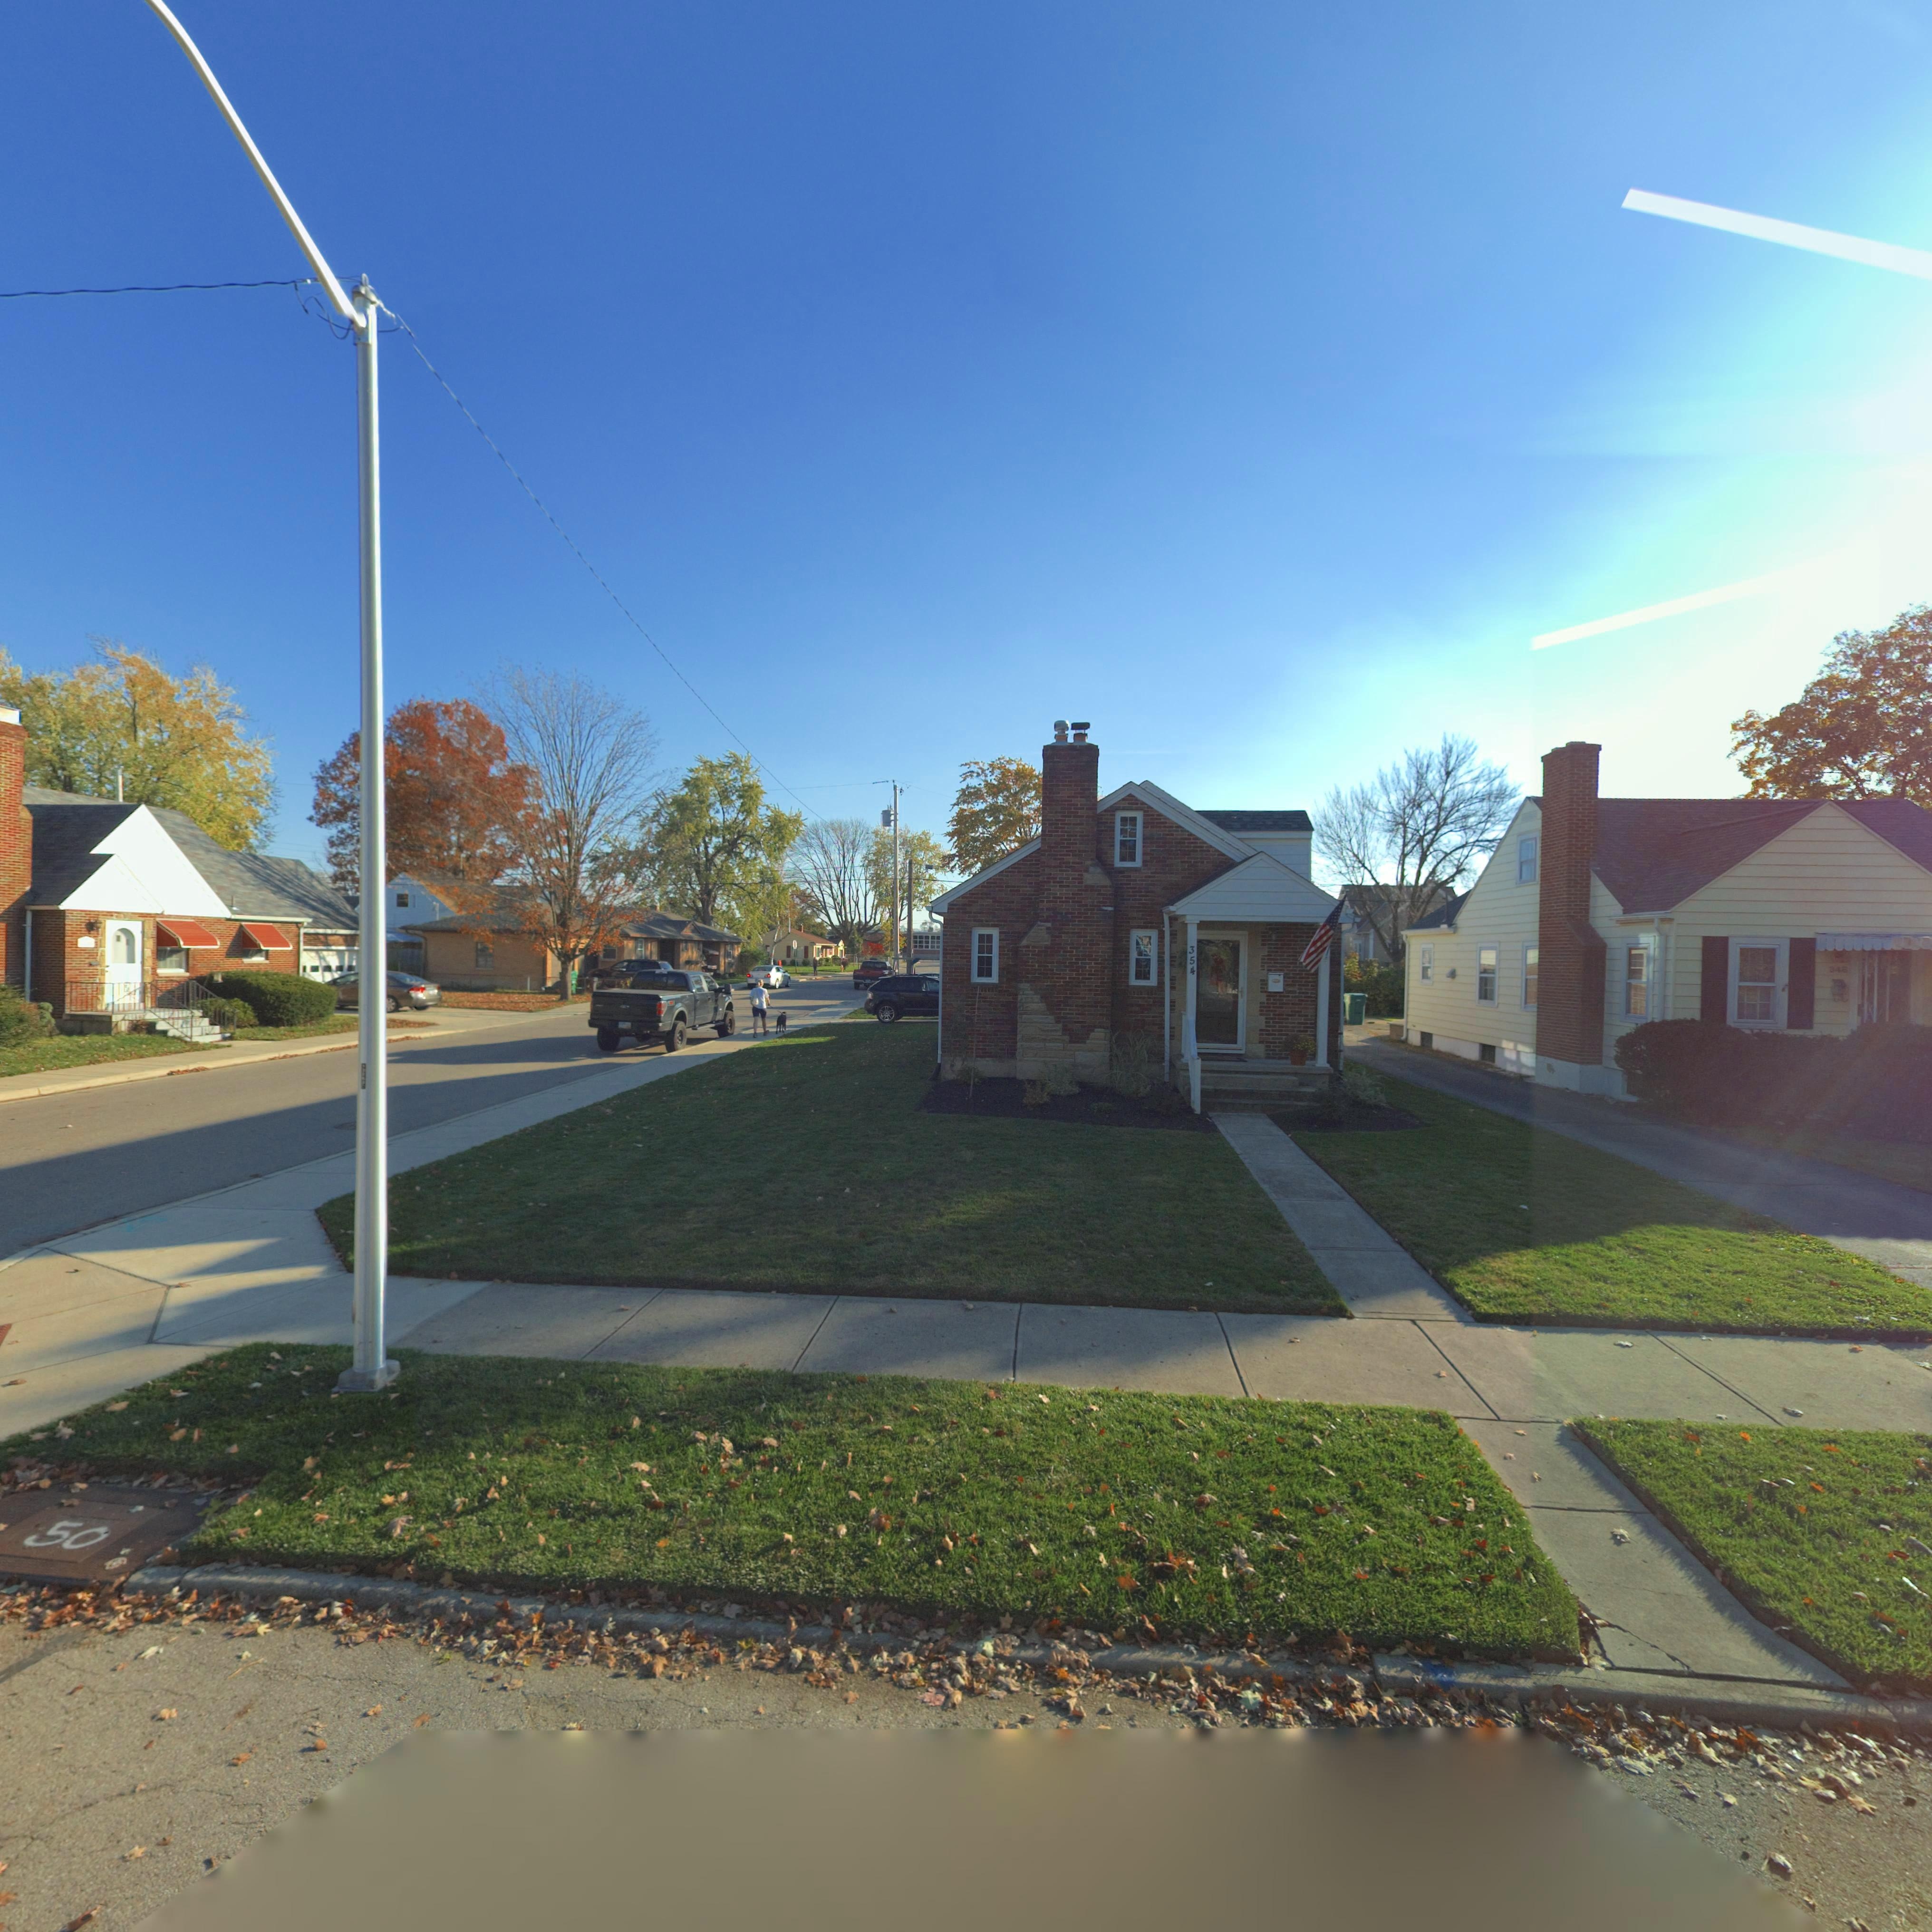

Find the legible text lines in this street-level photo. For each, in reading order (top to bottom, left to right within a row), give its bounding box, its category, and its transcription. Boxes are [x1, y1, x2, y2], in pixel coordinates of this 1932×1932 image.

[1188, 945, 1196, 976] StreetNumber: 354
[1828, 966, 1849, 974] StreetNumber: 348